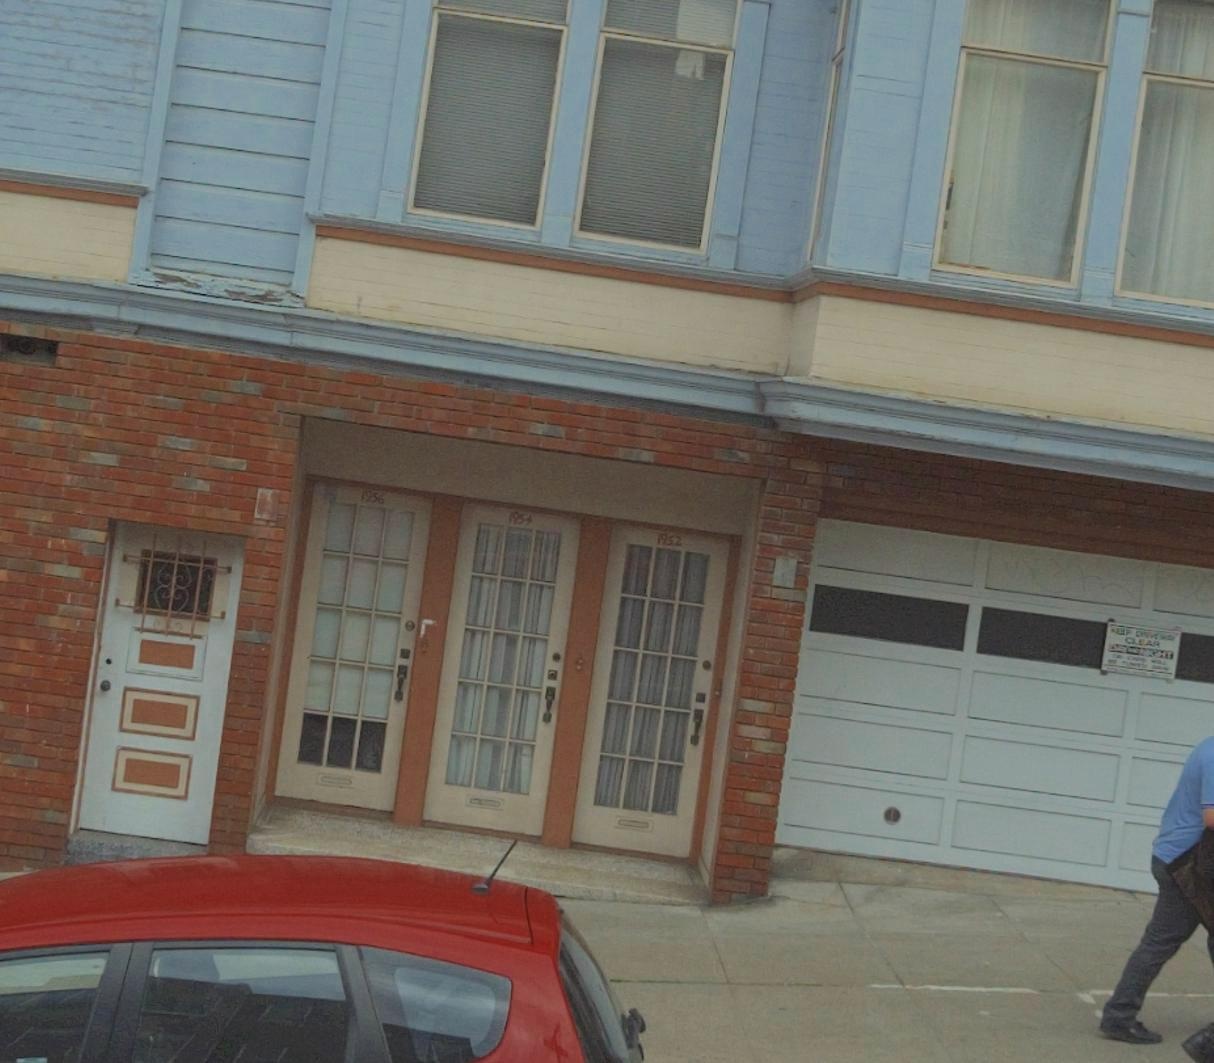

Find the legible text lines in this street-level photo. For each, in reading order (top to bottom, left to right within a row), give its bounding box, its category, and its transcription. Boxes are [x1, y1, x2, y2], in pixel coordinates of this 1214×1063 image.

[357, 487, 389, 508] StreetNumber: 1956
[506, 509, 537, 528] StreetNumber: 1954
[655, 532, 686, 549] StreetNumber: 1952
[1124, 634, 1162, 650] None: CLEAR
[1149, 647, 1174, 662] None: GHT